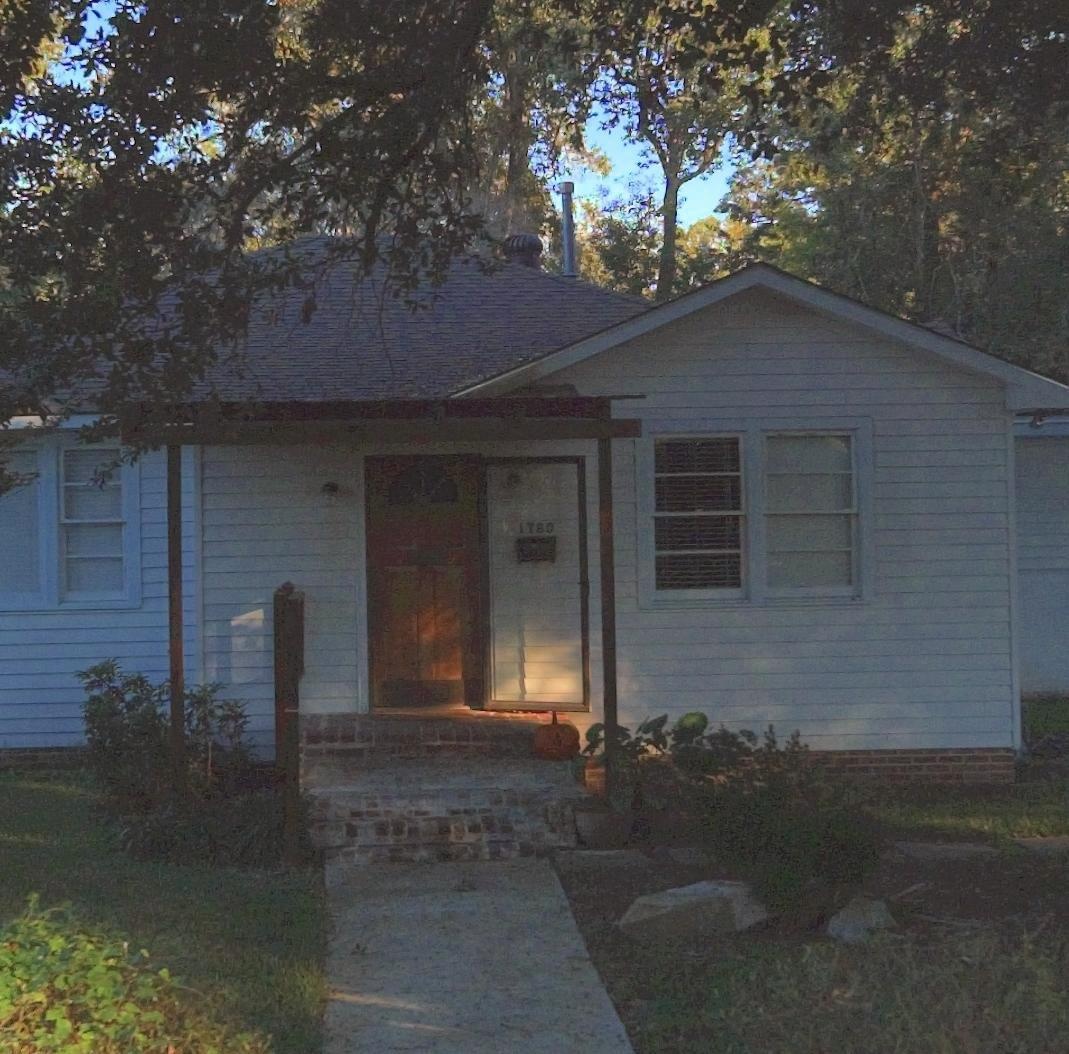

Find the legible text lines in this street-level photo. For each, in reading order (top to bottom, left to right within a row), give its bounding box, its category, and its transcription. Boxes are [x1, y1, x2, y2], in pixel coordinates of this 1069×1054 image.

[517, 519, 556, 535] StreetNumber: 17*0